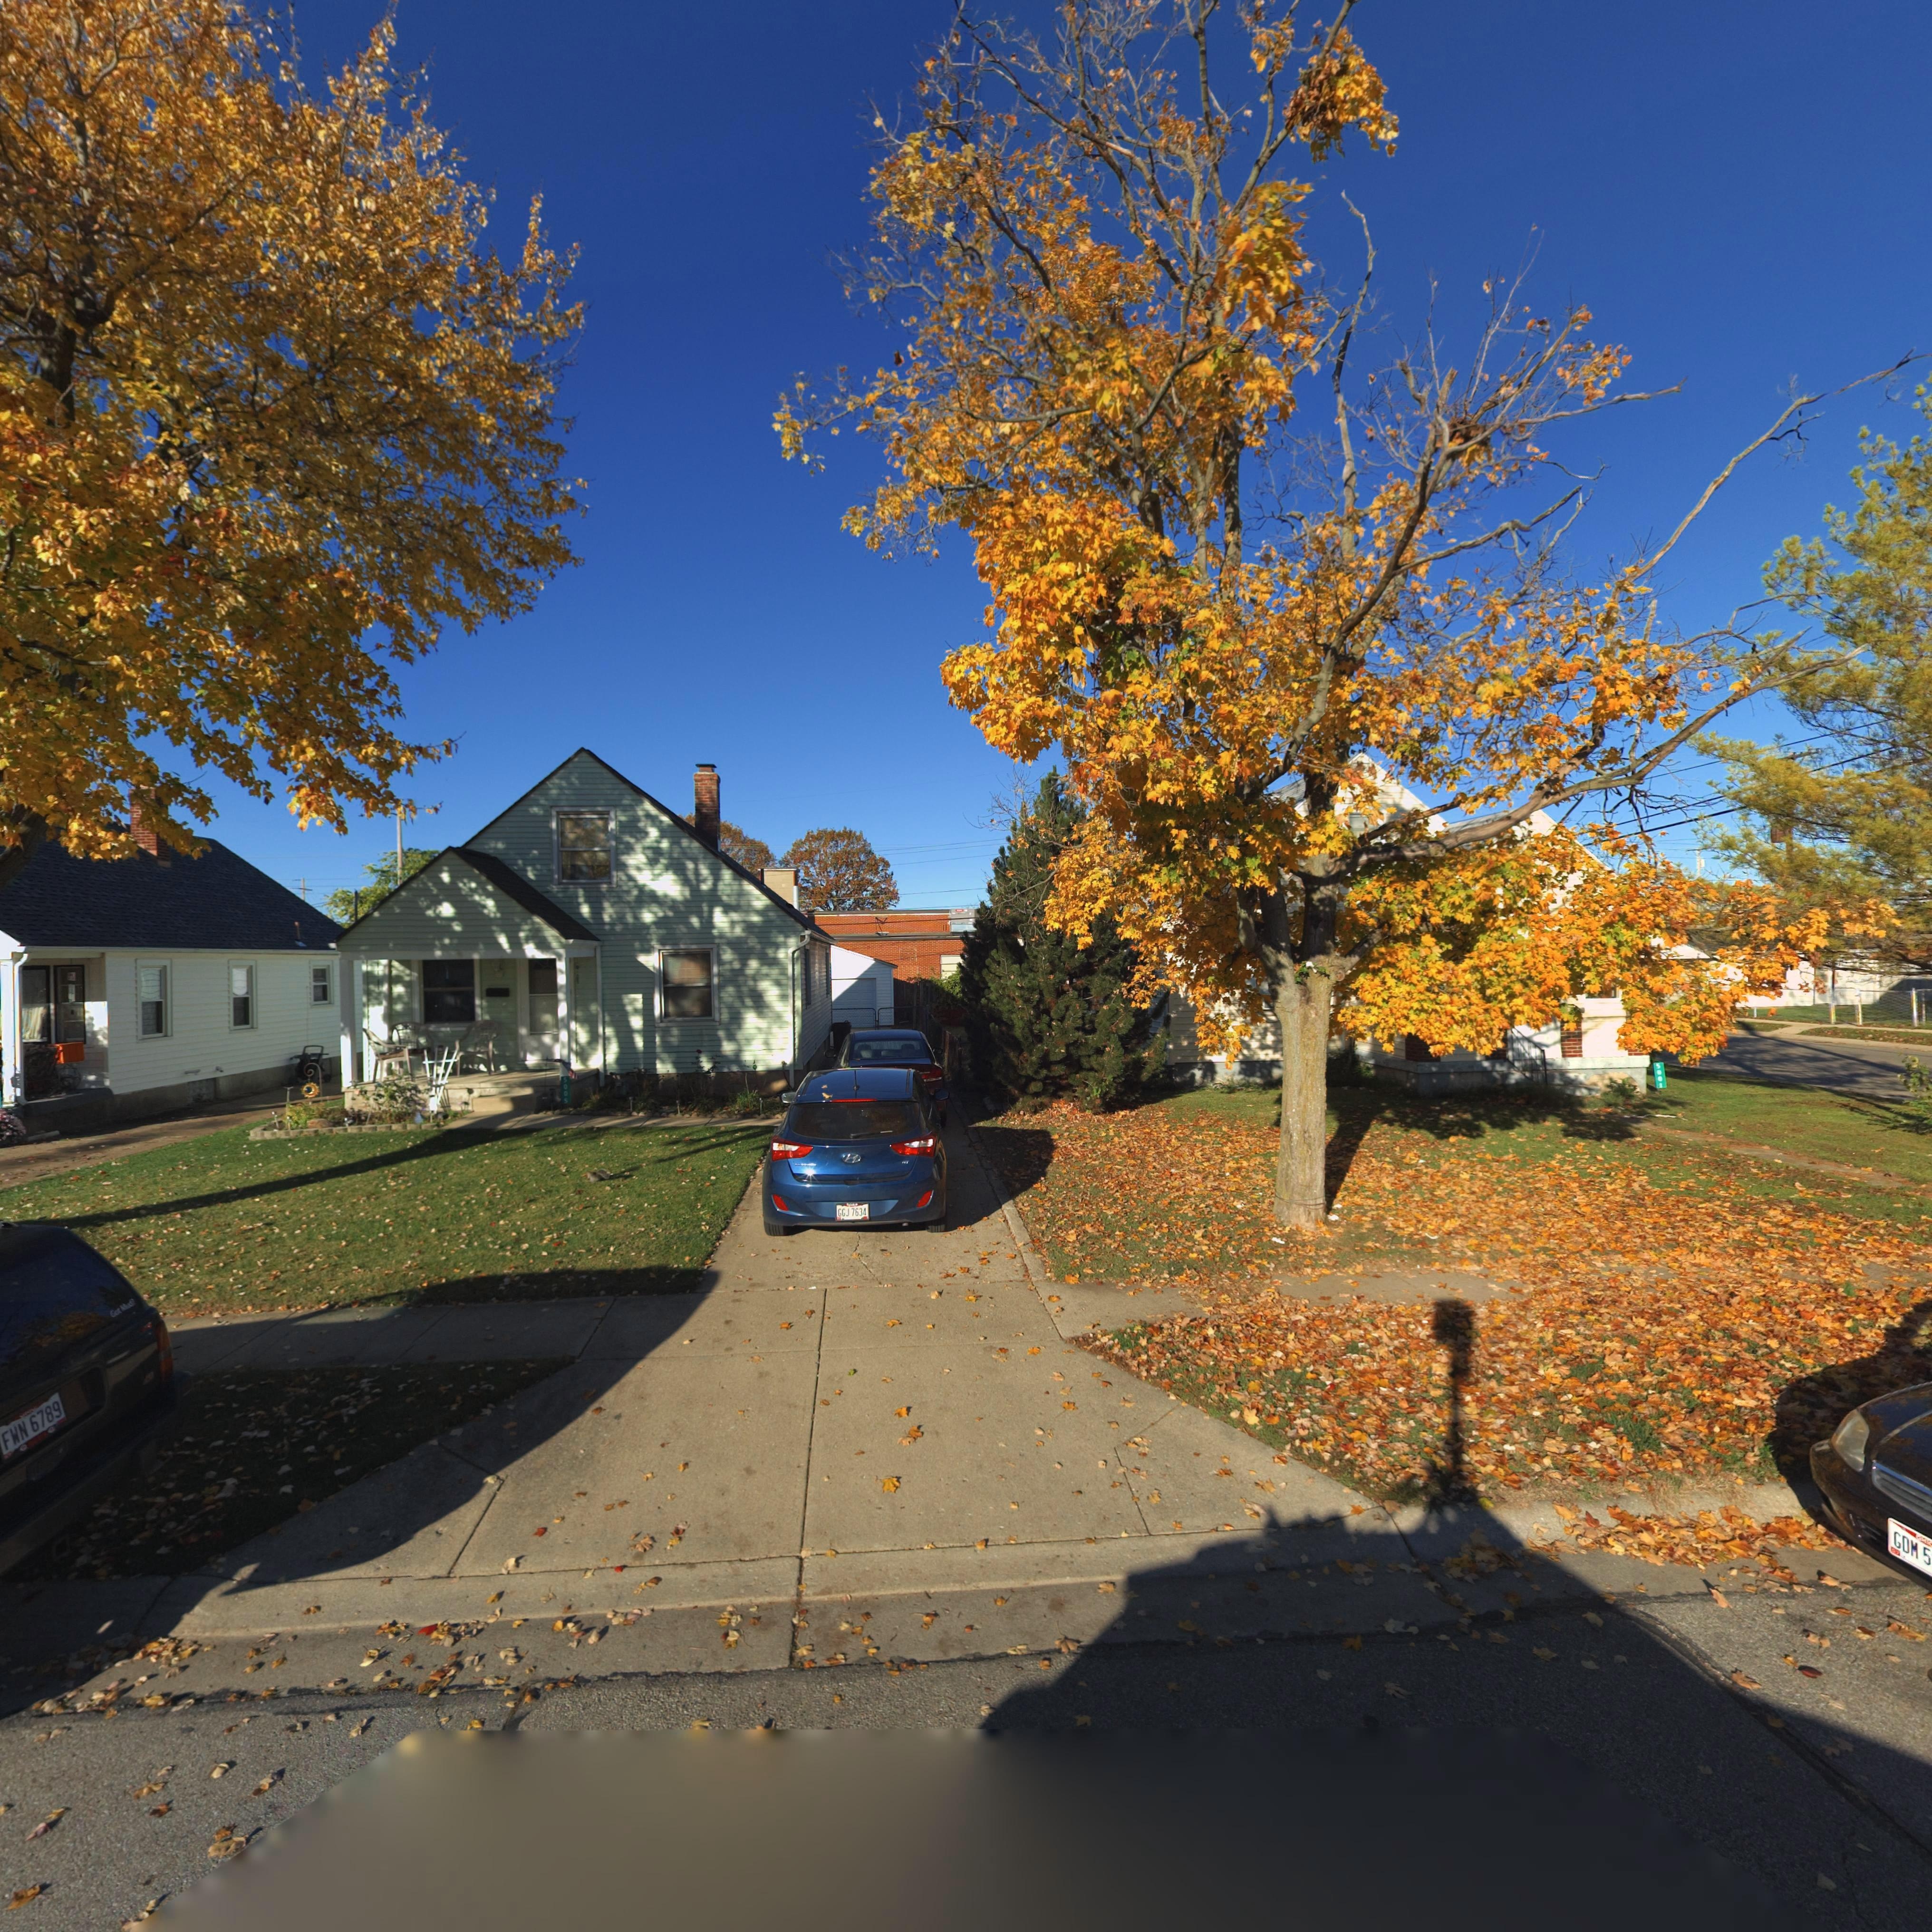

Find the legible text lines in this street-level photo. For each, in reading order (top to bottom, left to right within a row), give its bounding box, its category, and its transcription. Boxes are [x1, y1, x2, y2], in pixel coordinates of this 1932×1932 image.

[1655, 1063, 1663, 1089] StreetNumber: 5001
[563, 1077, 568, 1104] StreetNumber: 5005